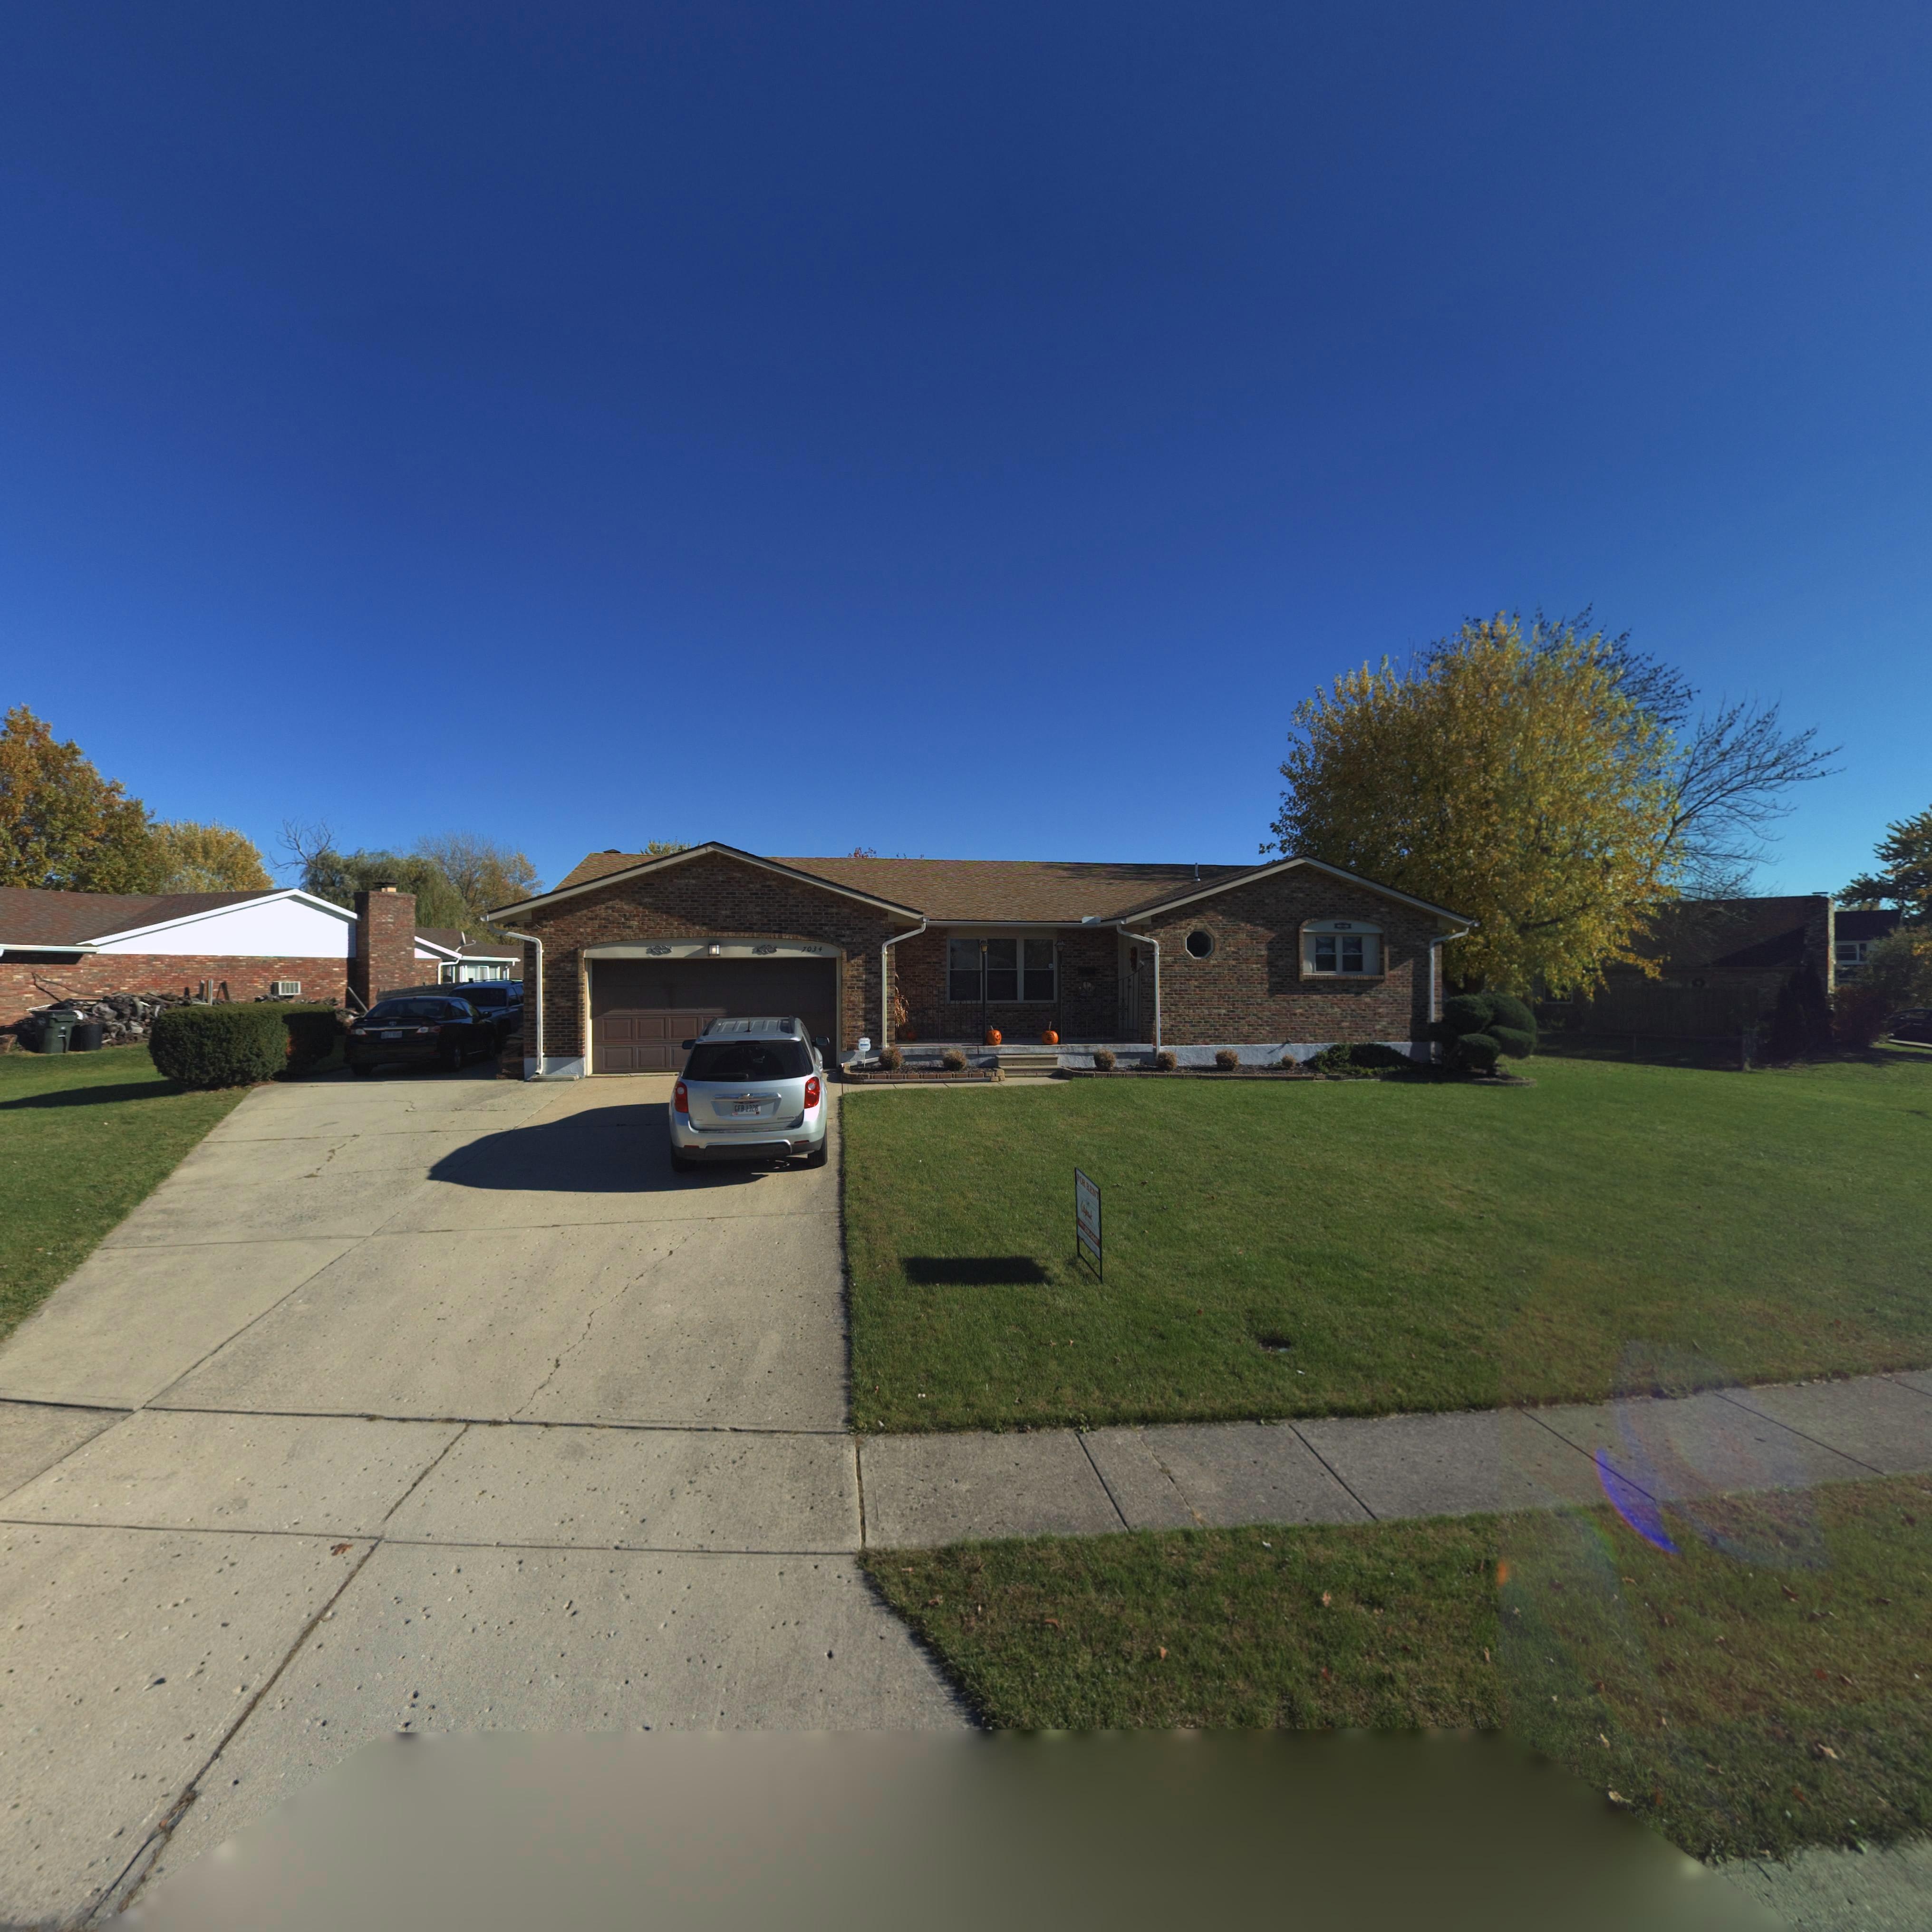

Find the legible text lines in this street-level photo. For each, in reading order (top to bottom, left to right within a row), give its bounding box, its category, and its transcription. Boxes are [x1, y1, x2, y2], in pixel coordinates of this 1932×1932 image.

[800, 946, 823, 953] StreetNumber: 7034